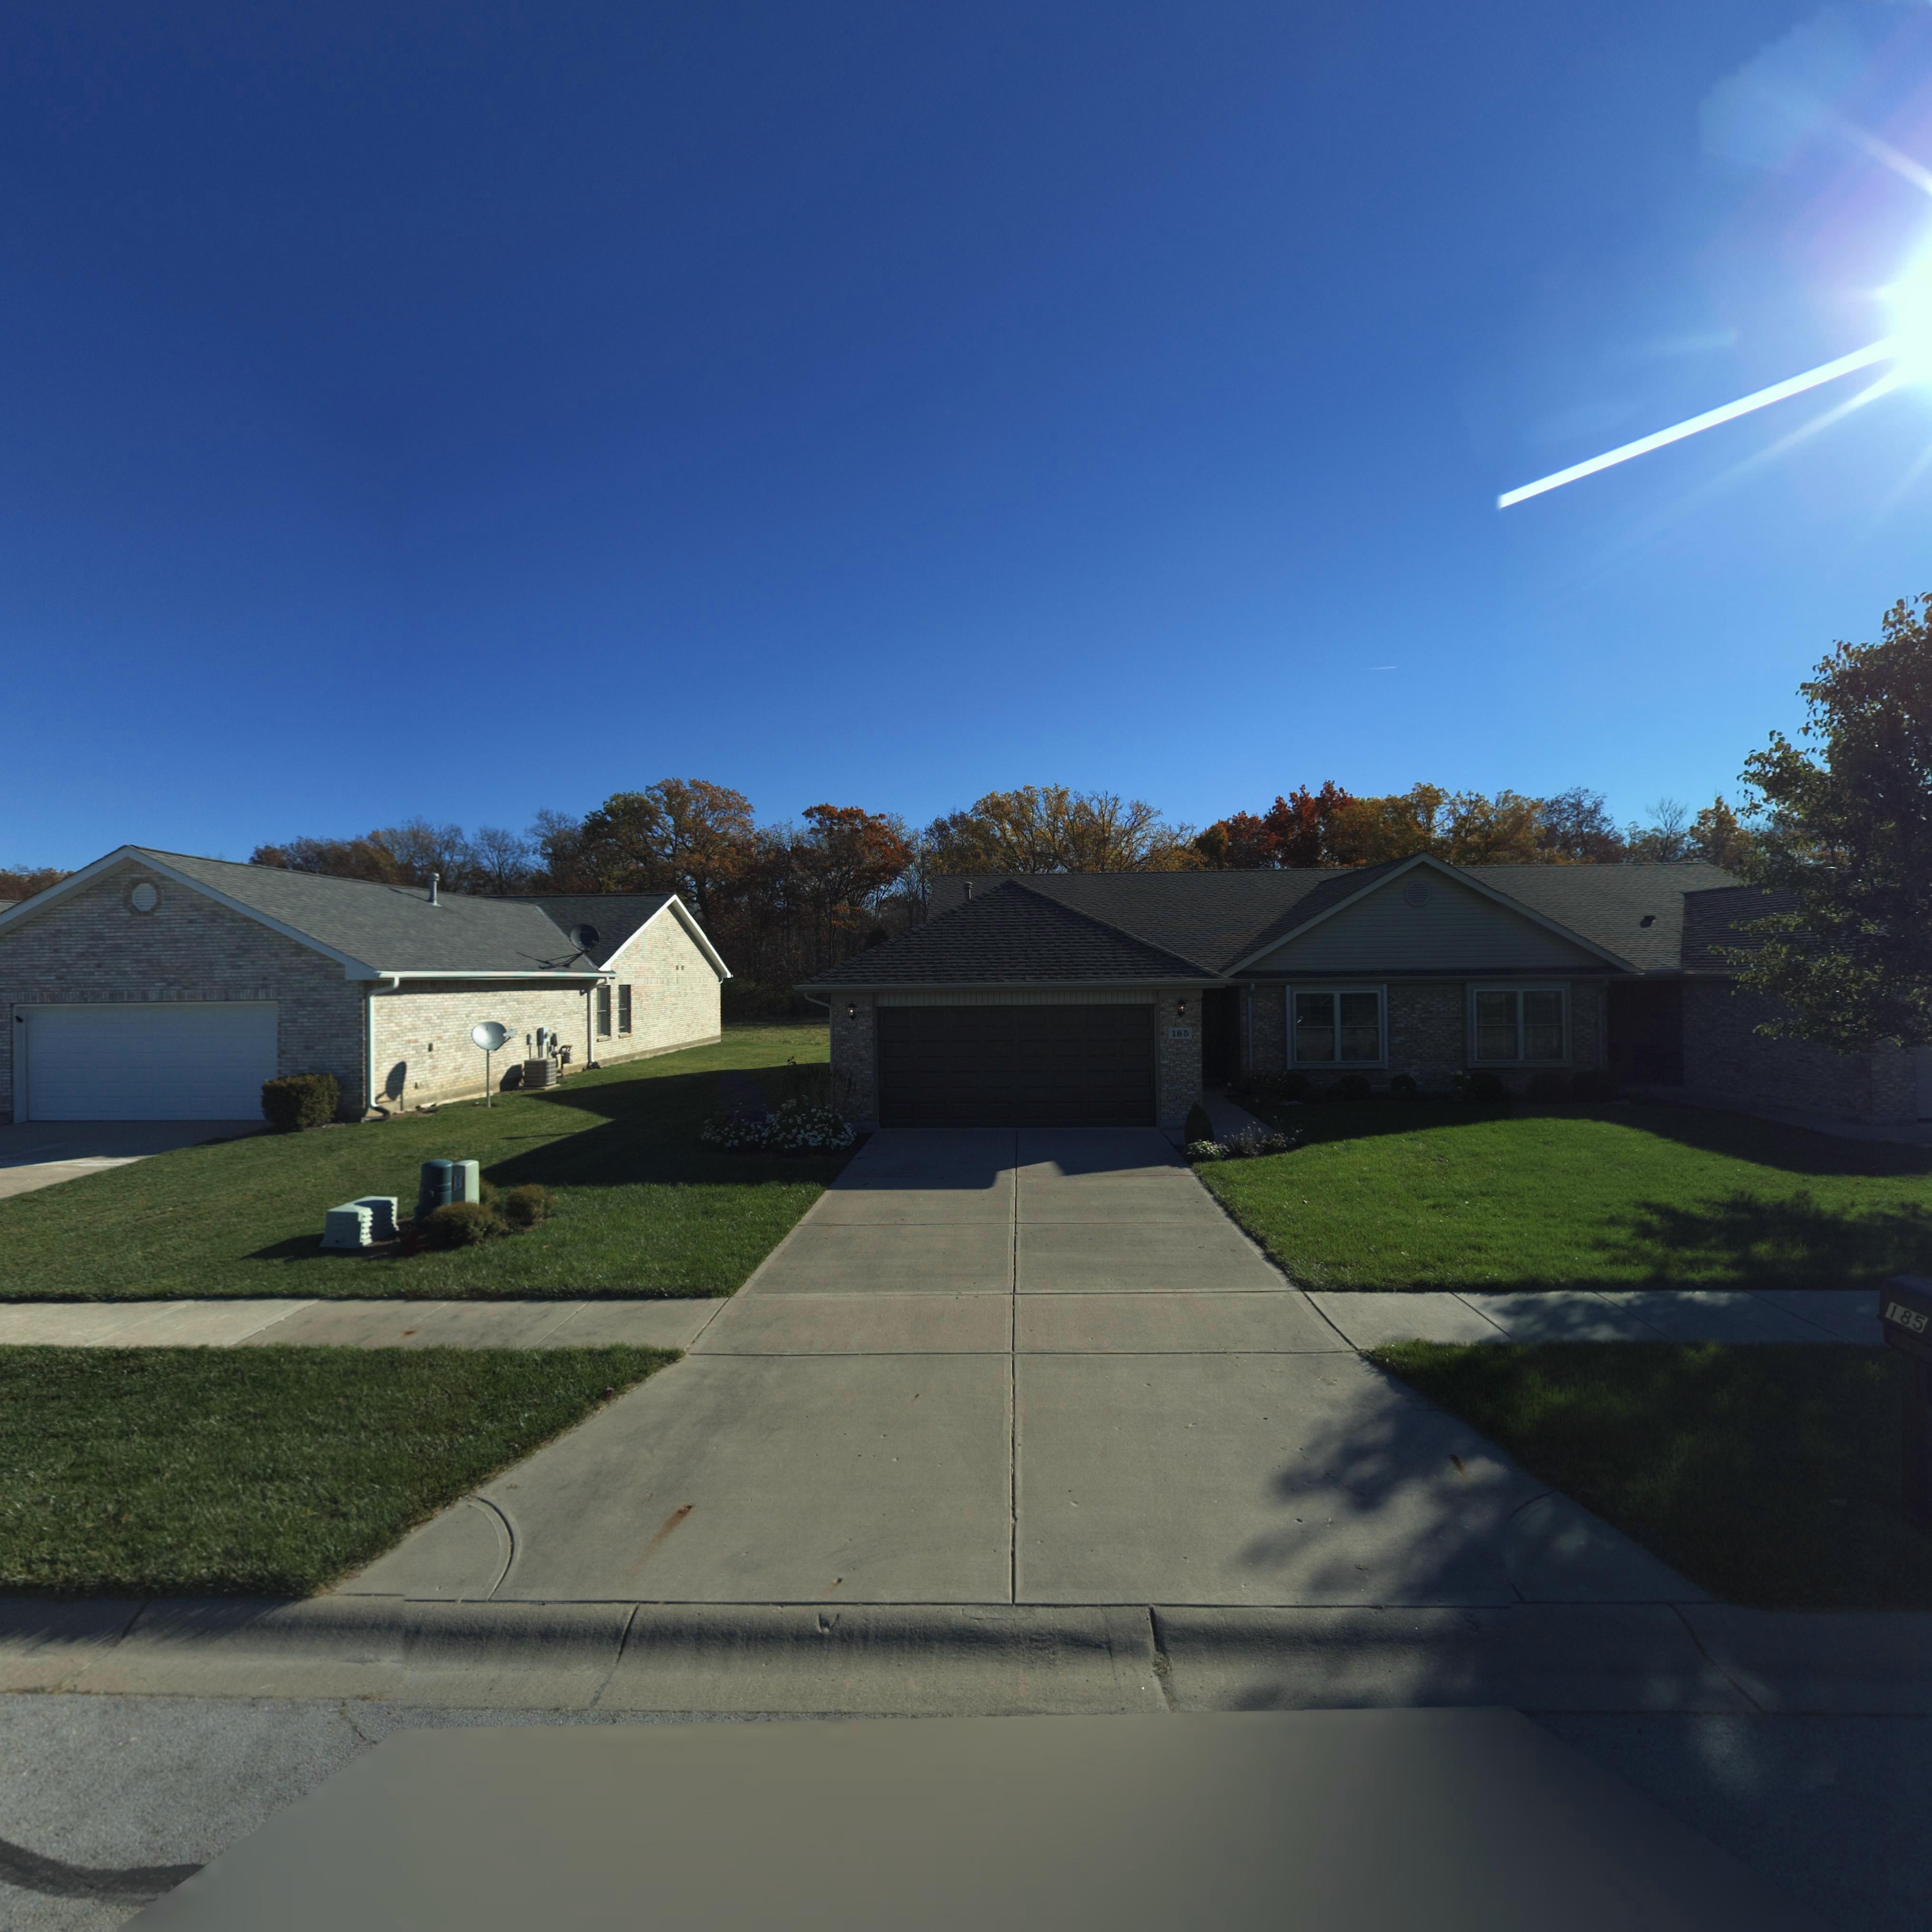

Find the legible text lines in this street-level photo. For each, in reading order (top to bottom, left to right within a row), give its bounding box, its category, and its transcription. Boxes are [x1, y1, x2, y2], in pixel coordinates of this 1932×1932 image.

[1171, 1029, 1190, 1037] StreetNumber: 185
[1887, 1301, 1928, 1333] StreetNumber: 185